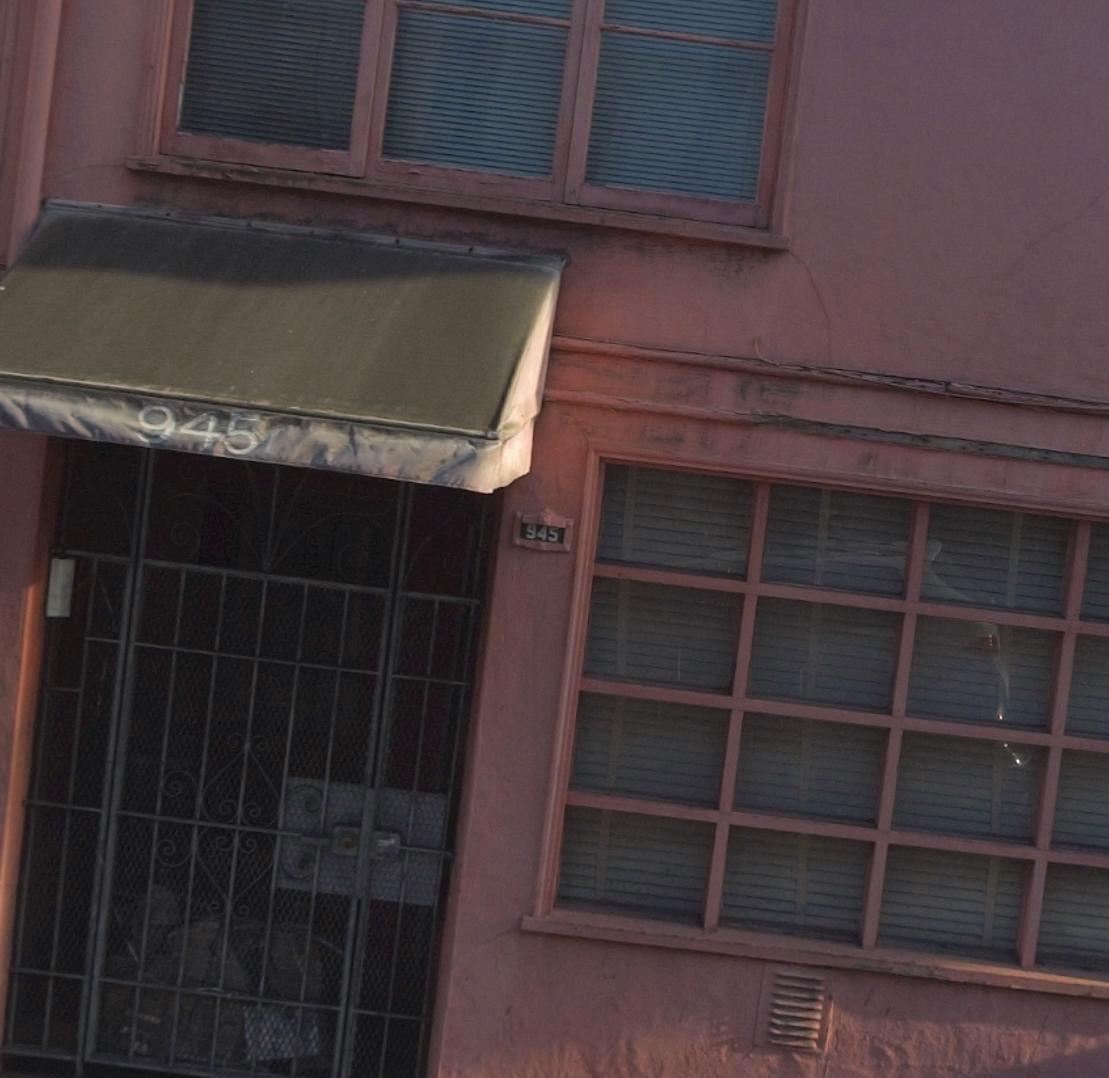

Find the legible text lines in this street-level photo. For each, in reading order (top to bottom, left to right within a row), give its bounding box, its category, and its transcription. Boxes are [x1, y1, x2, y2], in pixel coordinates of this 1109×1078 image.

[132, 398, 265, 460] StreetNumber: 945
[523, 523, 560, 544] StreetNumber: 945